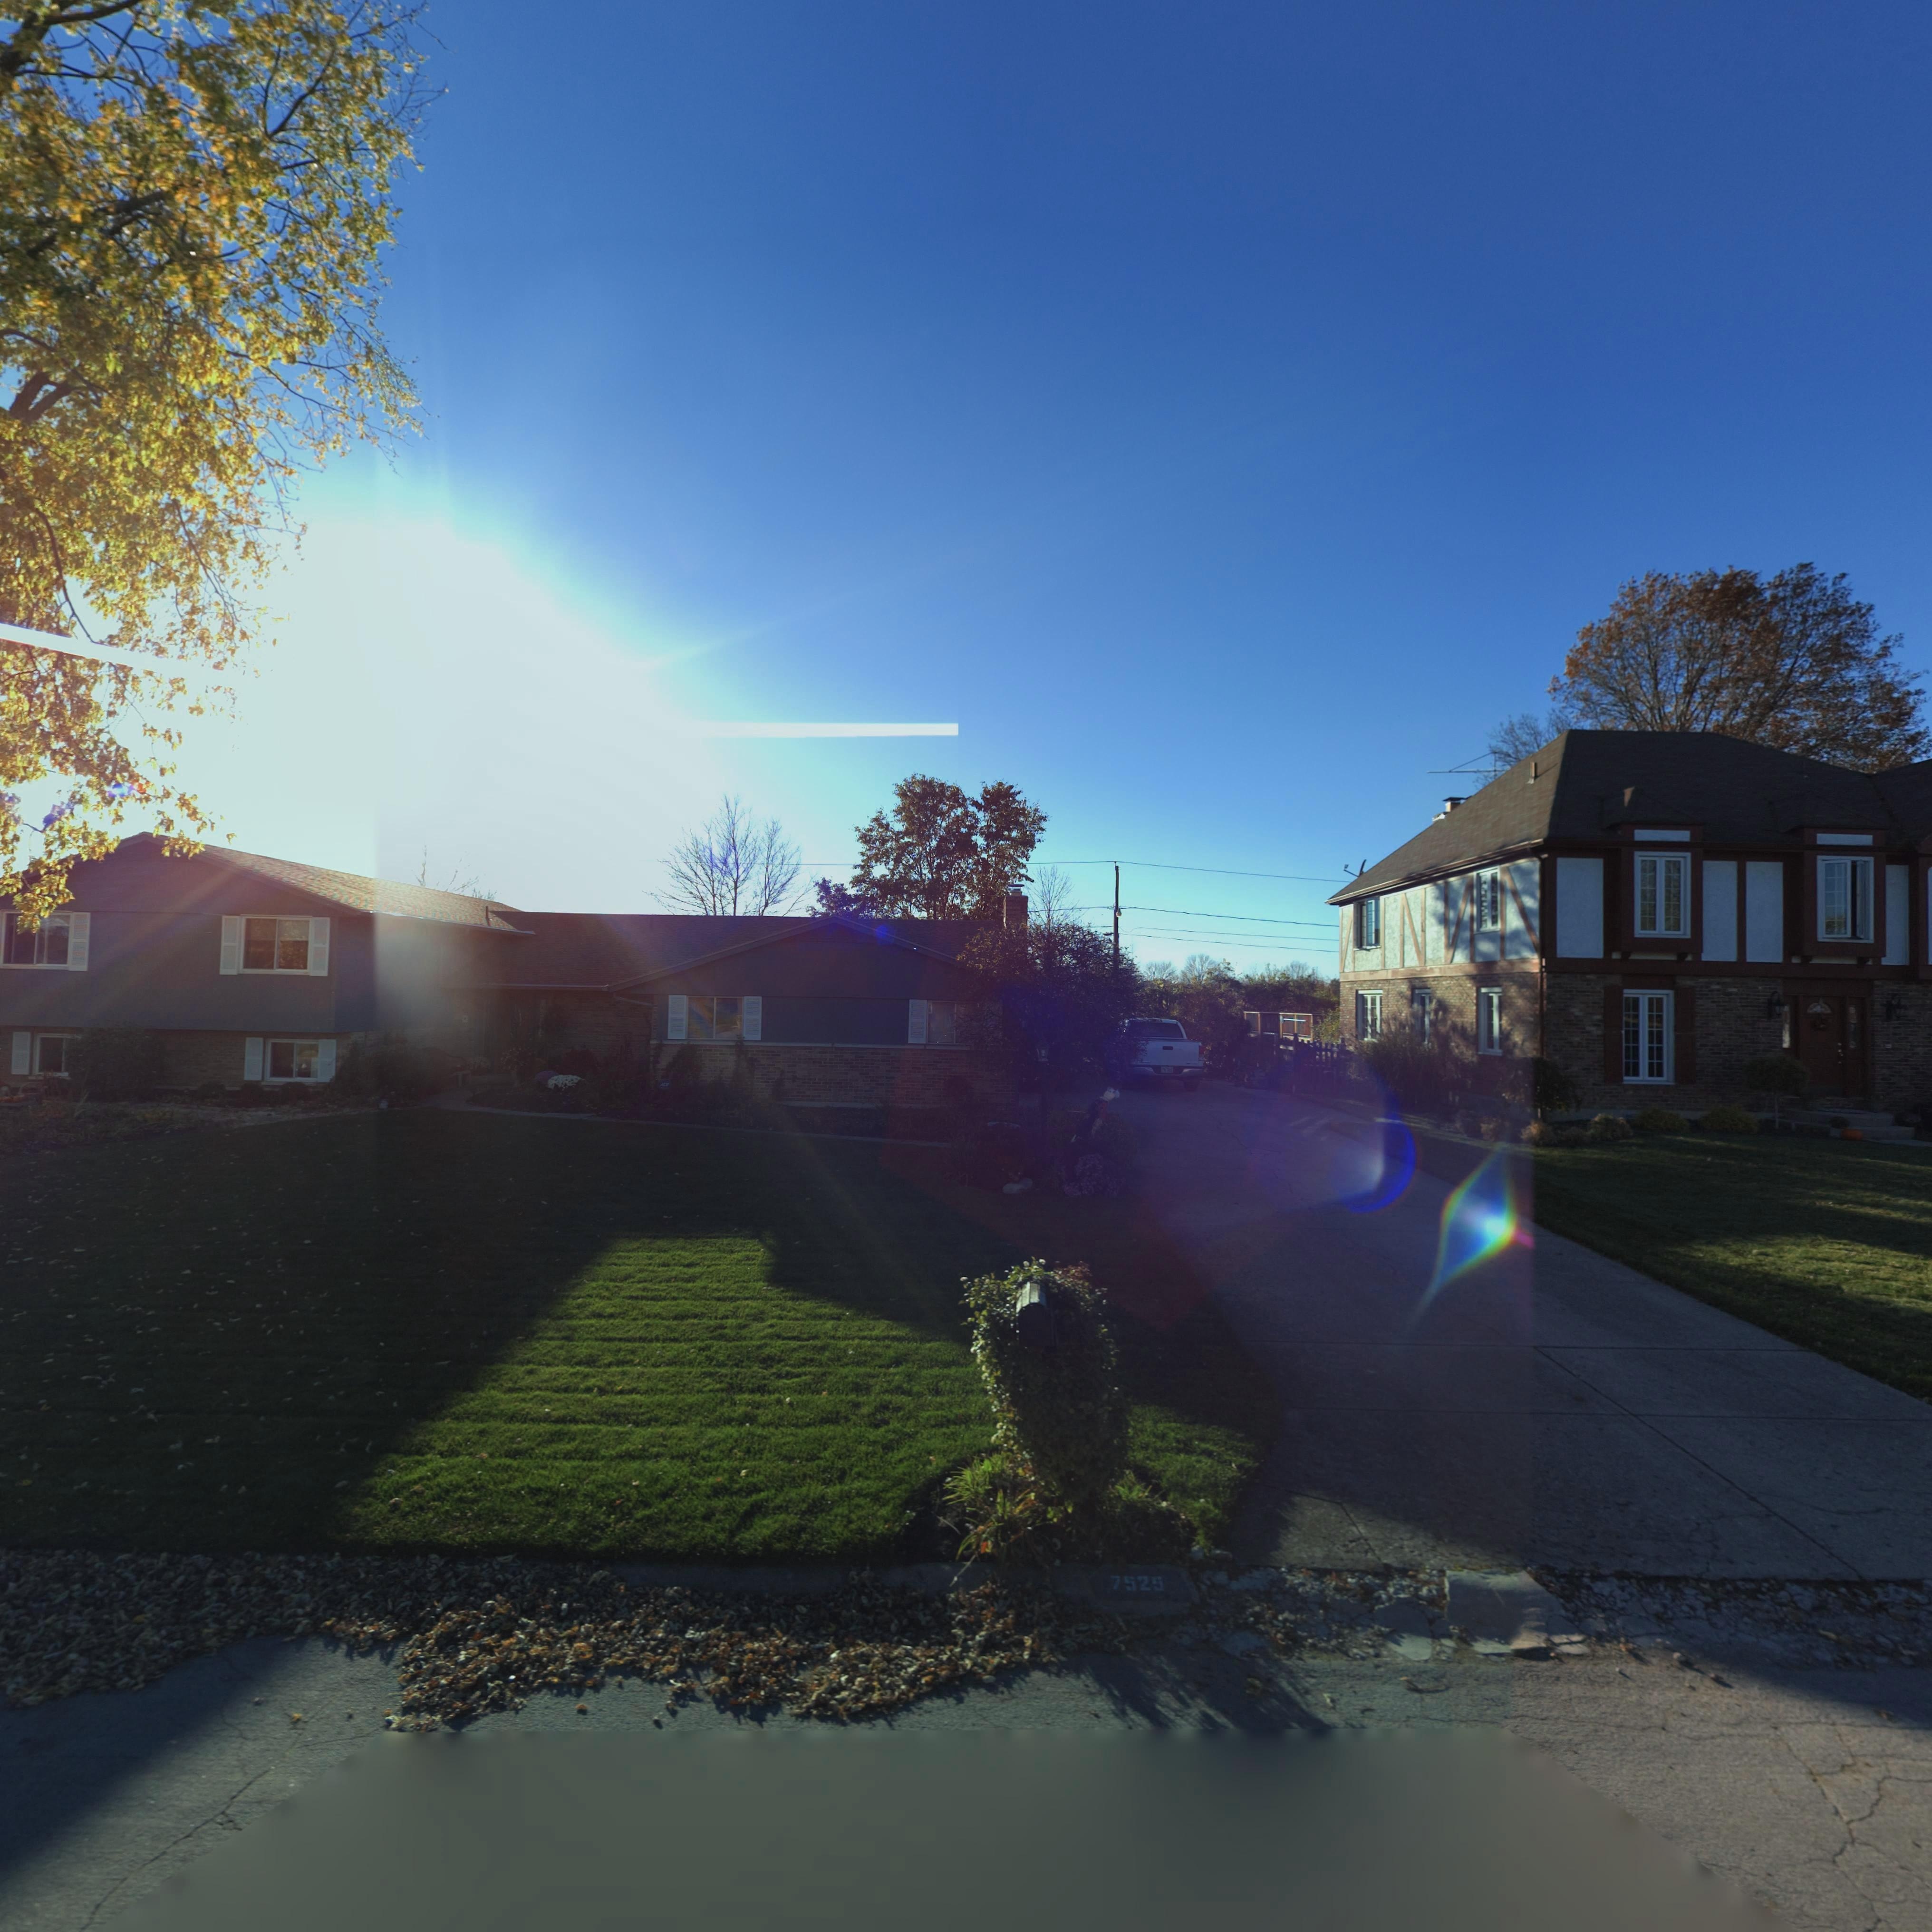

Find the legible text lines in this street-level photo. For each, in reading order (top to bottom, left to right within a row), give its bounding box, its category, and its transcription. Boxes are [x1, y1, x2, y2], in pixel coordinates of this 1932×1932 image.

[1109, 1574, 1166, 1592] StreetNumber: 7525